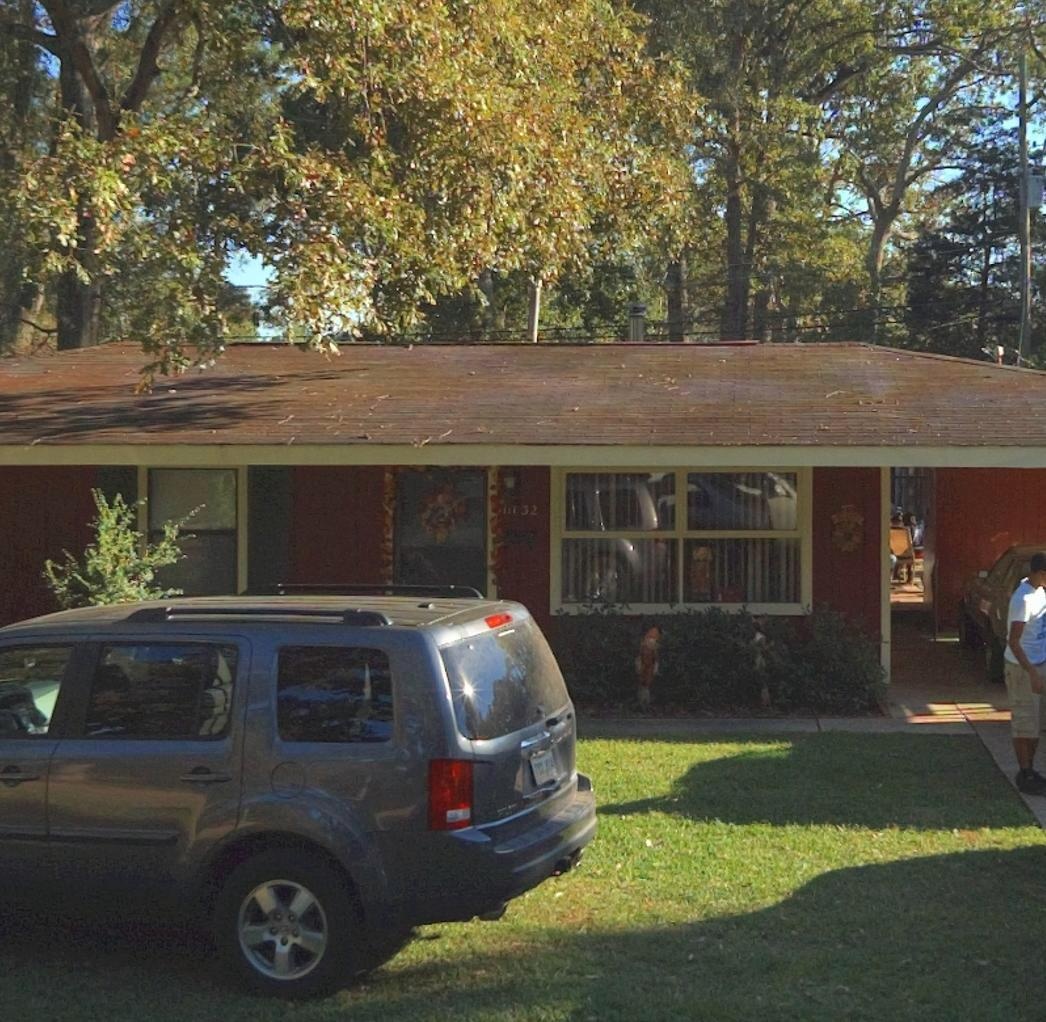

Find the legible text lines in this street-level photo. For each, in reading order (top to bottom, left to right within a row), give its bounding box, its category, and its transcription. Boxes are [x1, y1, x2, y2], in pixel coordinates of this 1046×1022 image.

[502, 502, 540, 516] StreetNumber: 11132